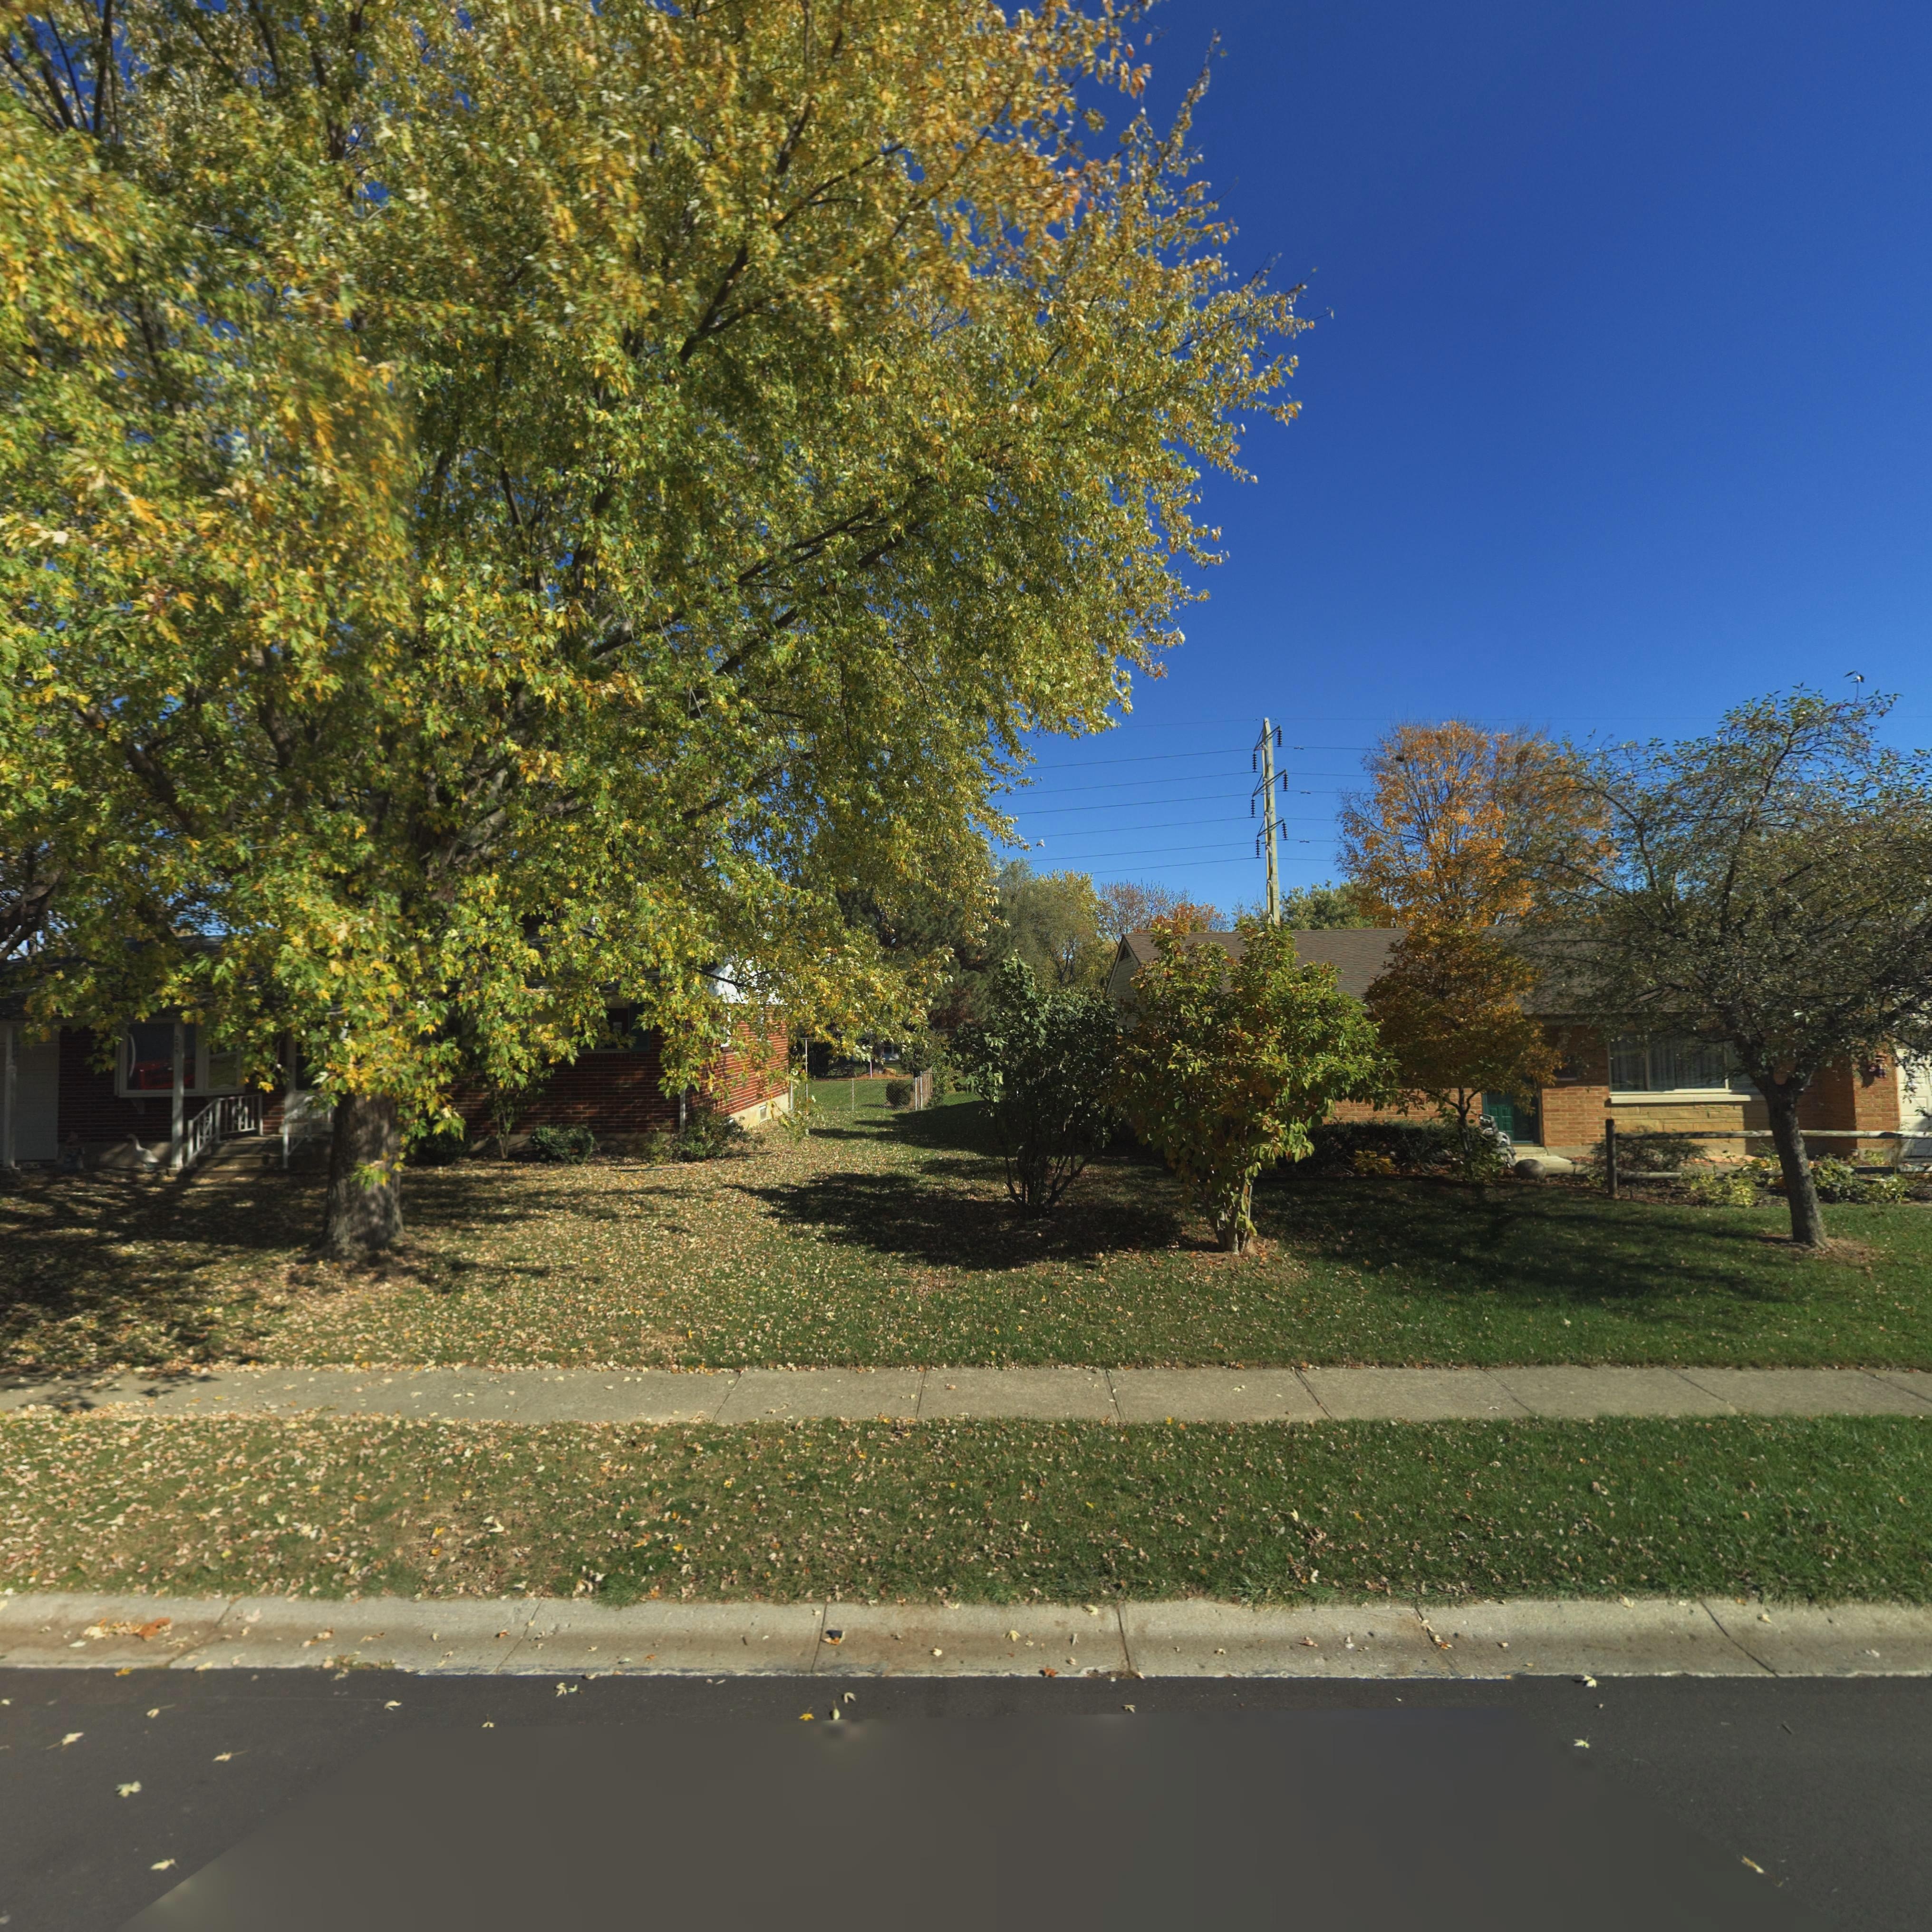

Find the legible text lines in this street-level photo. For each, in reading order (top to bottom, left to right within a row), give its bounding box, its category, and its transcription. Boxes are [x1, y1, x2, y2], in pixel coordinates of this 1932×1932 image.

[173, 1034, 179, 1056] StreetNumber: 20*